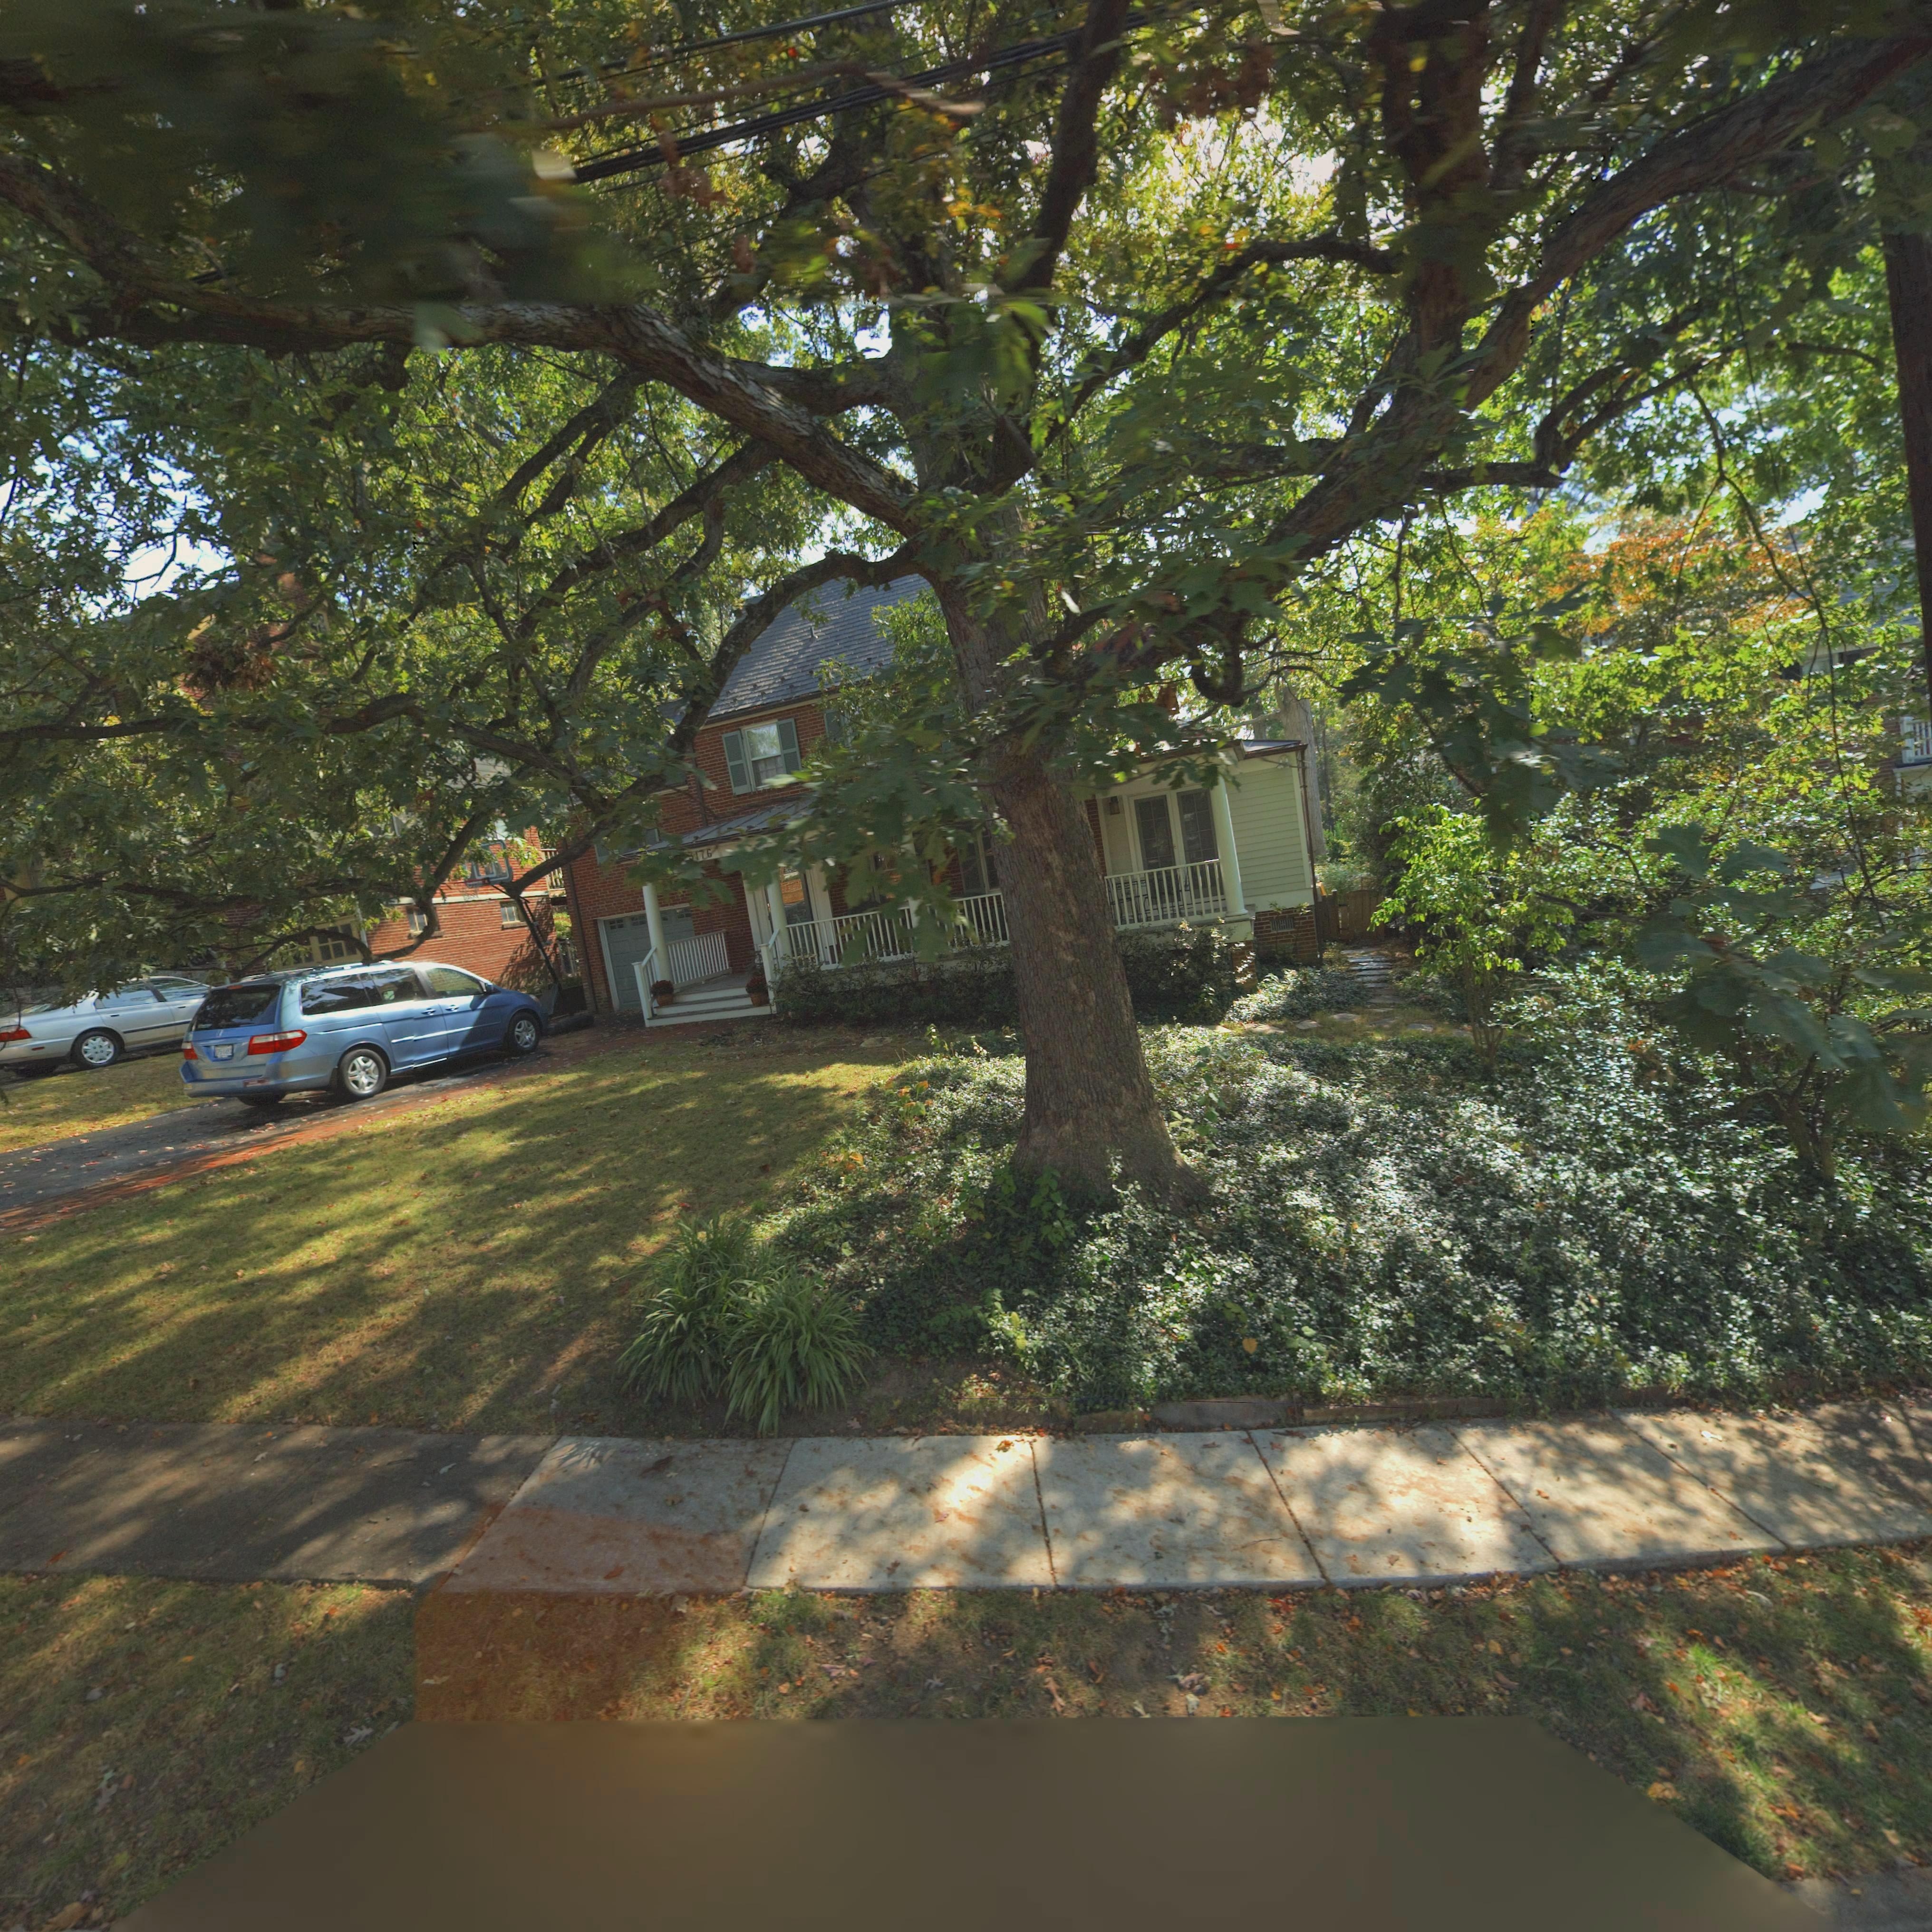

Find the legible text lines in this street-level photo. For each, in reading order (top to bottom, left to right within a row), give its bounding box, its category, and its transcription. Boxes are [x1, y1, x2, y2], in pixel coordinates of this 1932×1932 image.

[694, 846, 714, 861] StreetNumber: 176